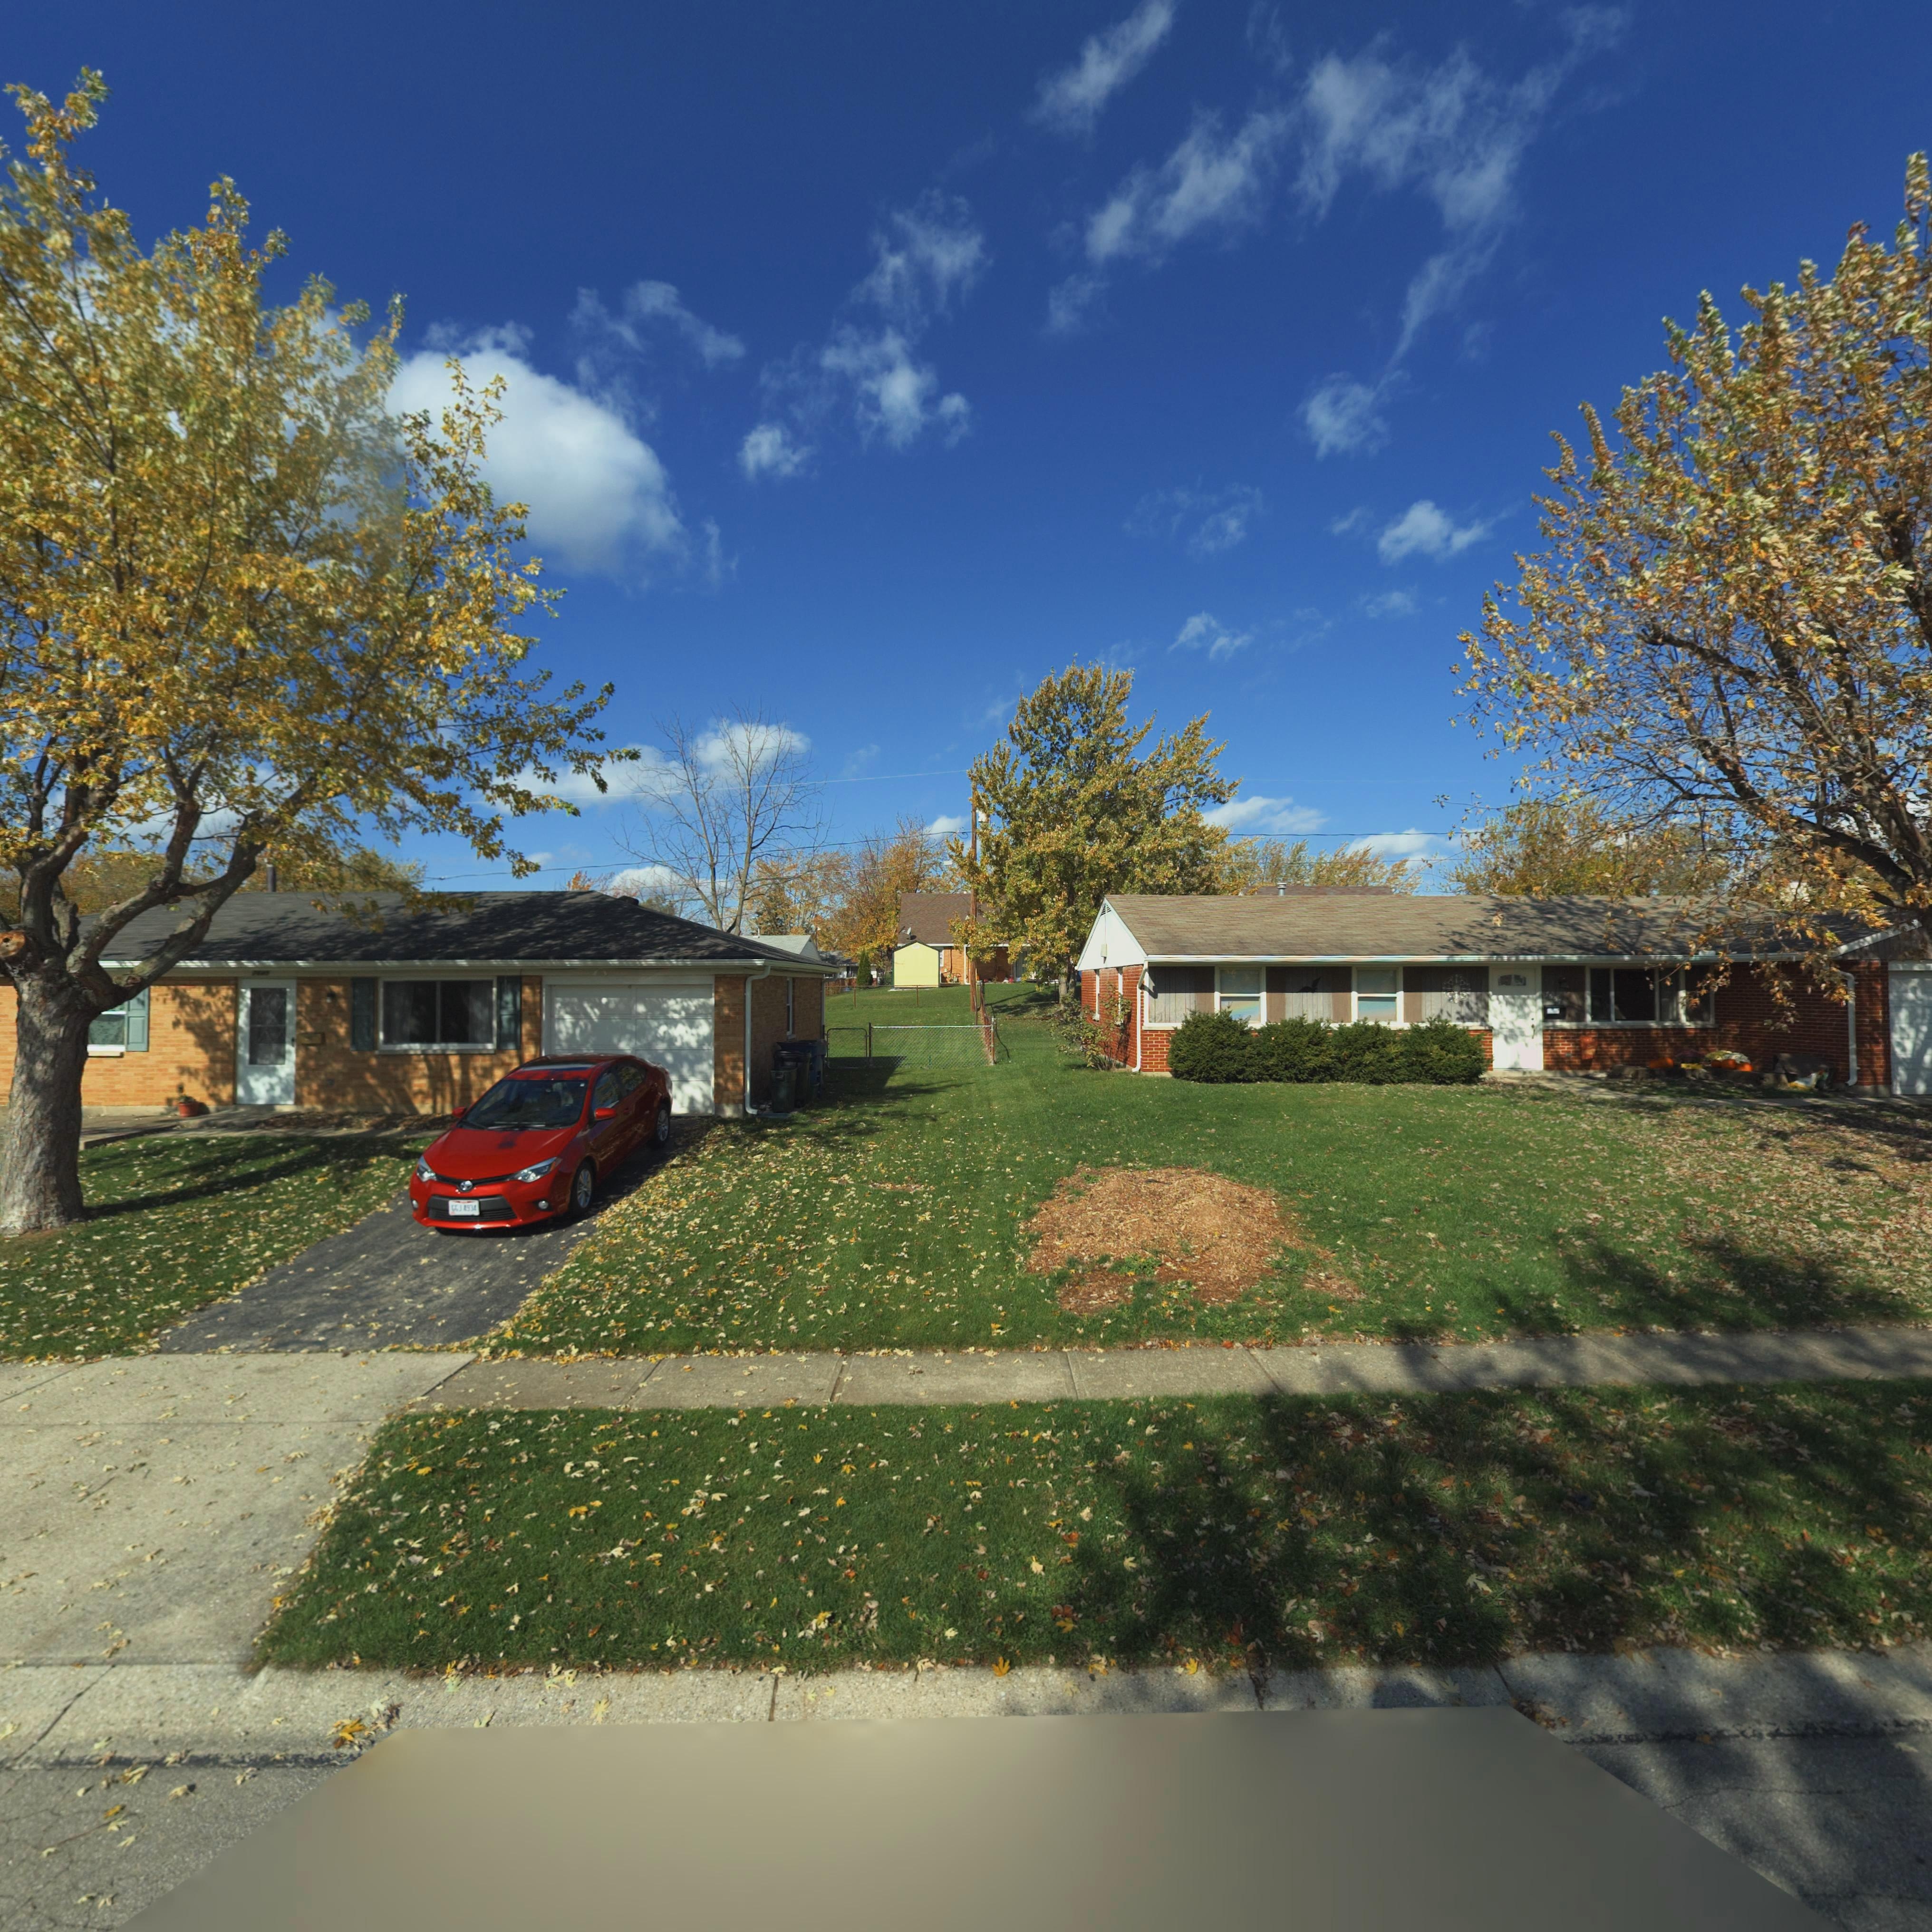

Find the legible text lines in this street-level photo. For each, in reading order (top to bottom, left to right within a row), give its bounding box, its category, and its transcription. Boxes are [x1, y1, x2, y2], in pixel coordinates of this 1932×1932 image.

[251, 970, 270, 976] StreetNumber: 7***
[1545, 991, 1563, 1005] StreetNumber: 7657